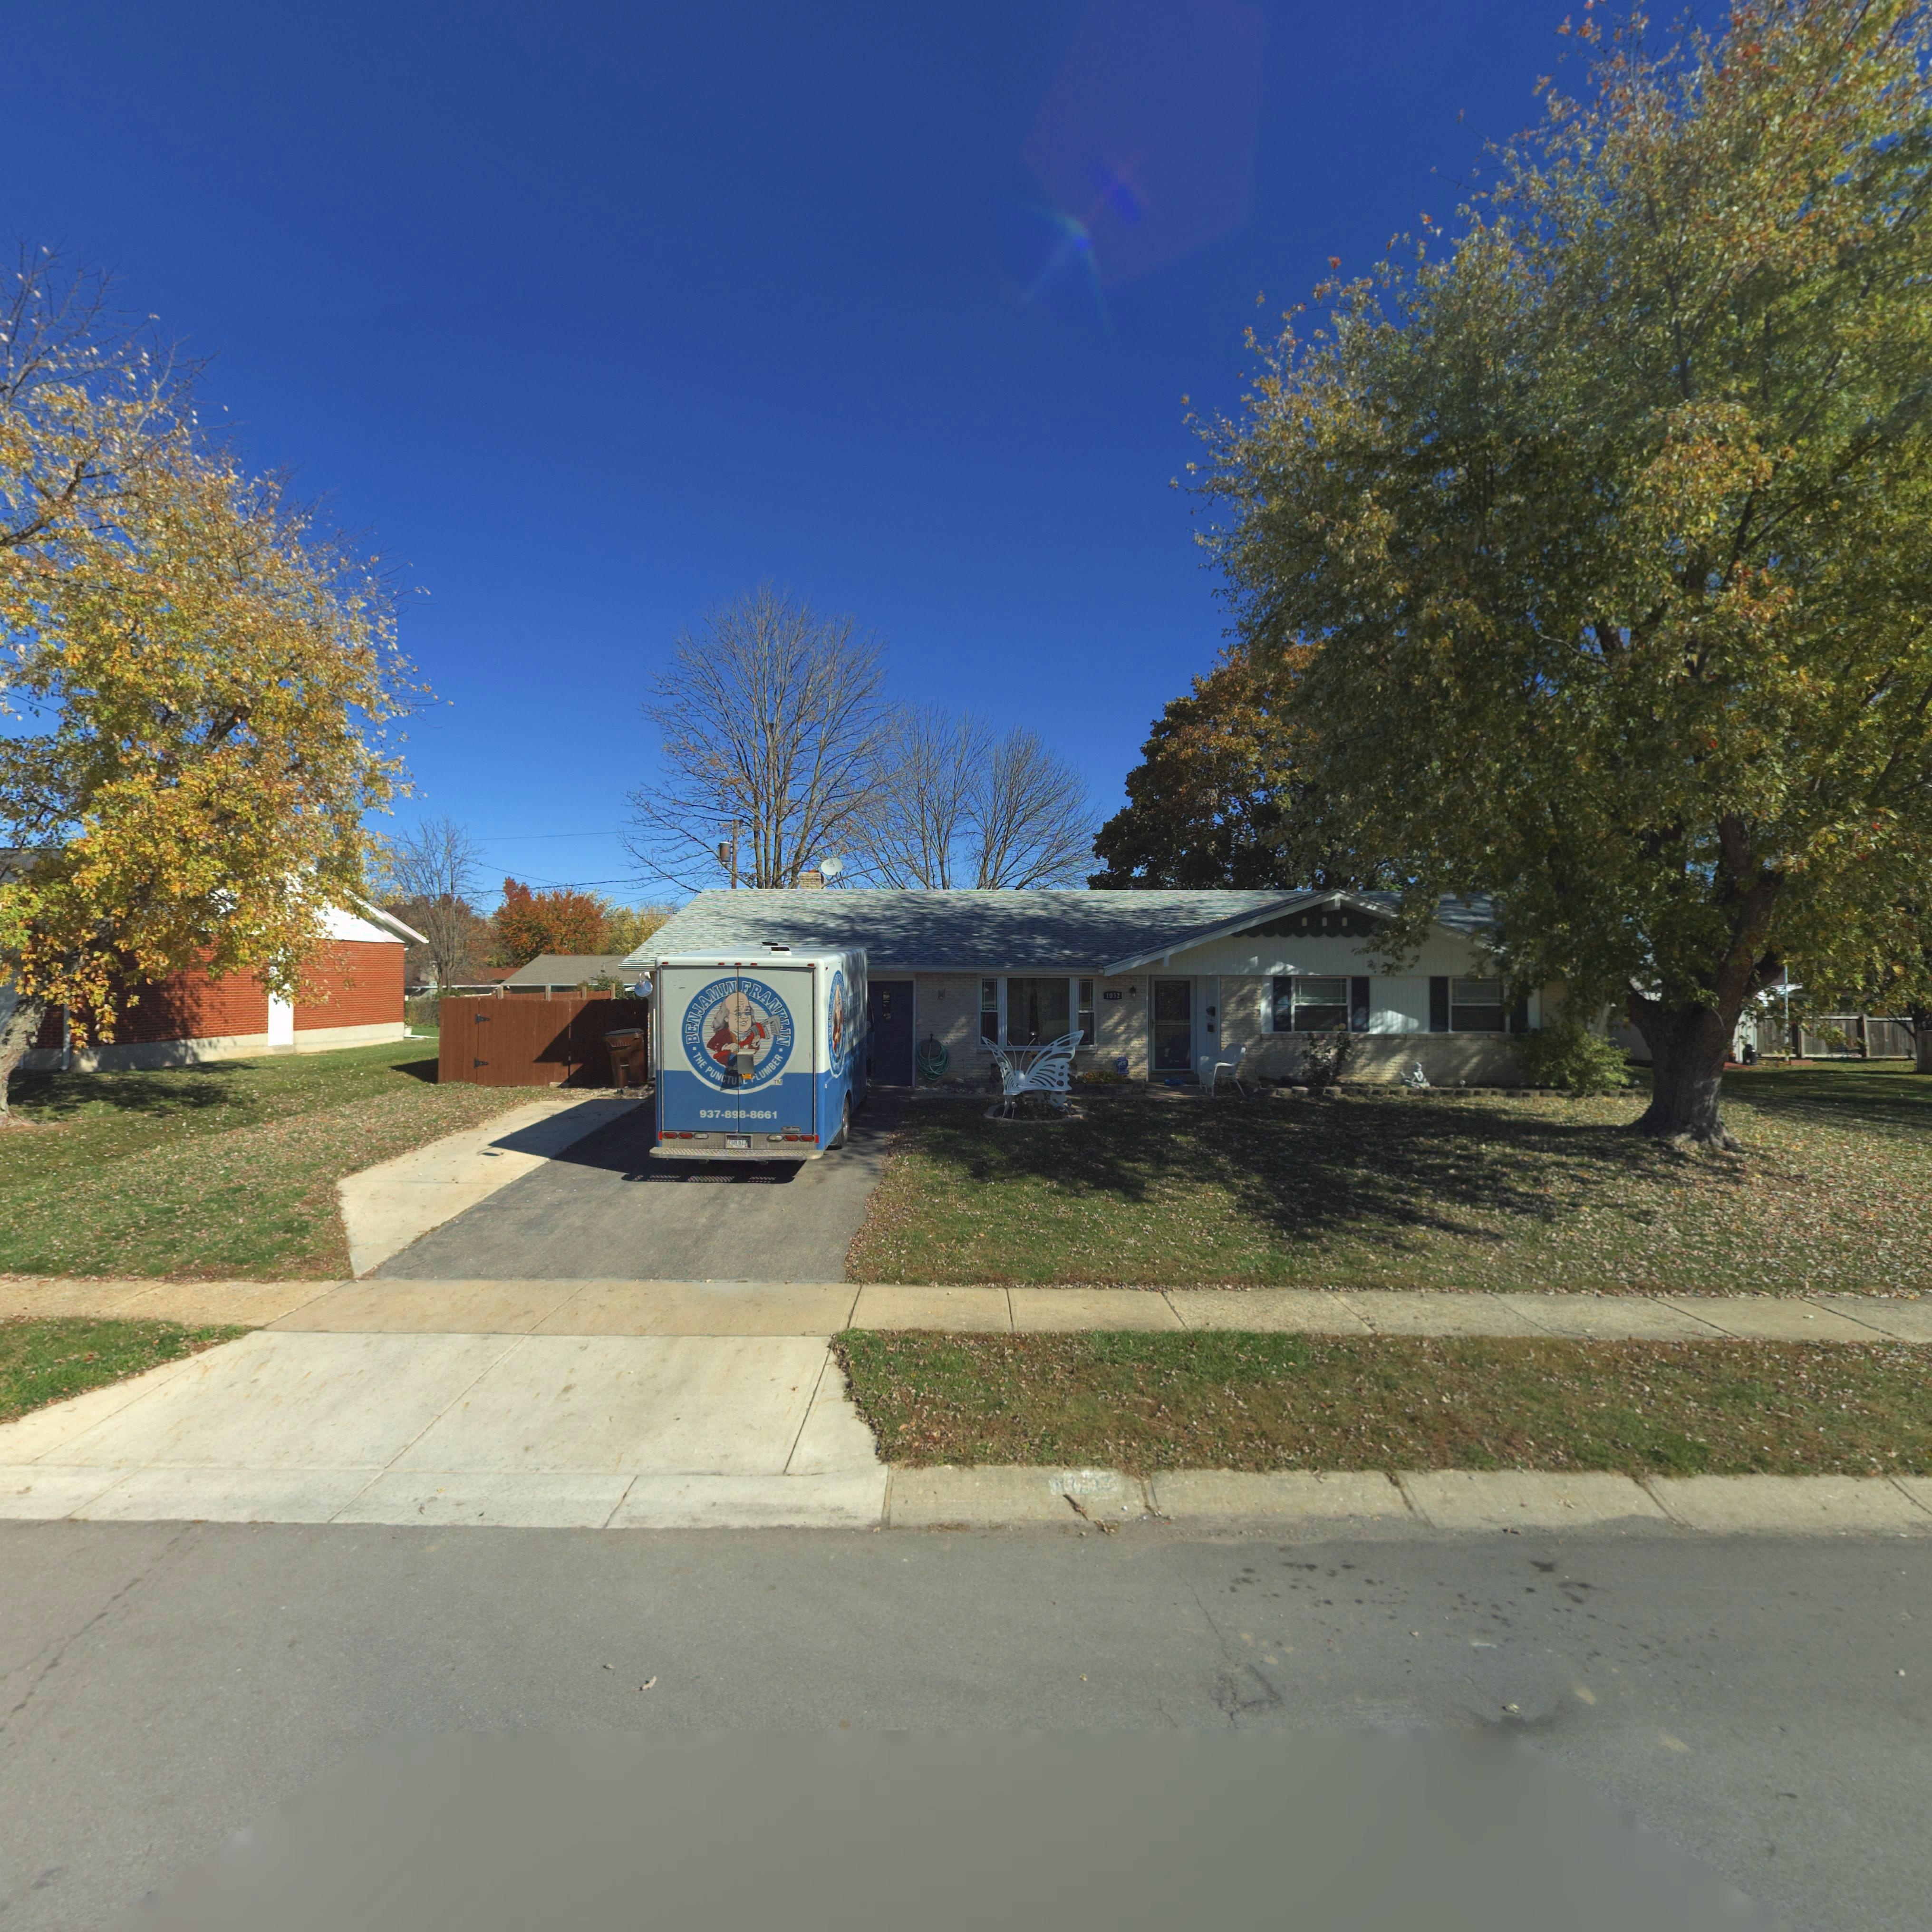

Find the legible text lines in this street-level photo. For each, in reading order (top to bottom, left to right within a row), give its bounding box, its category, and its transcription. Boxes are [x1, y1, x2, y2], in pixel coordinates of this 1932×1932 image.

[1105, 992, 1121, 999] StreetNumber: 1032